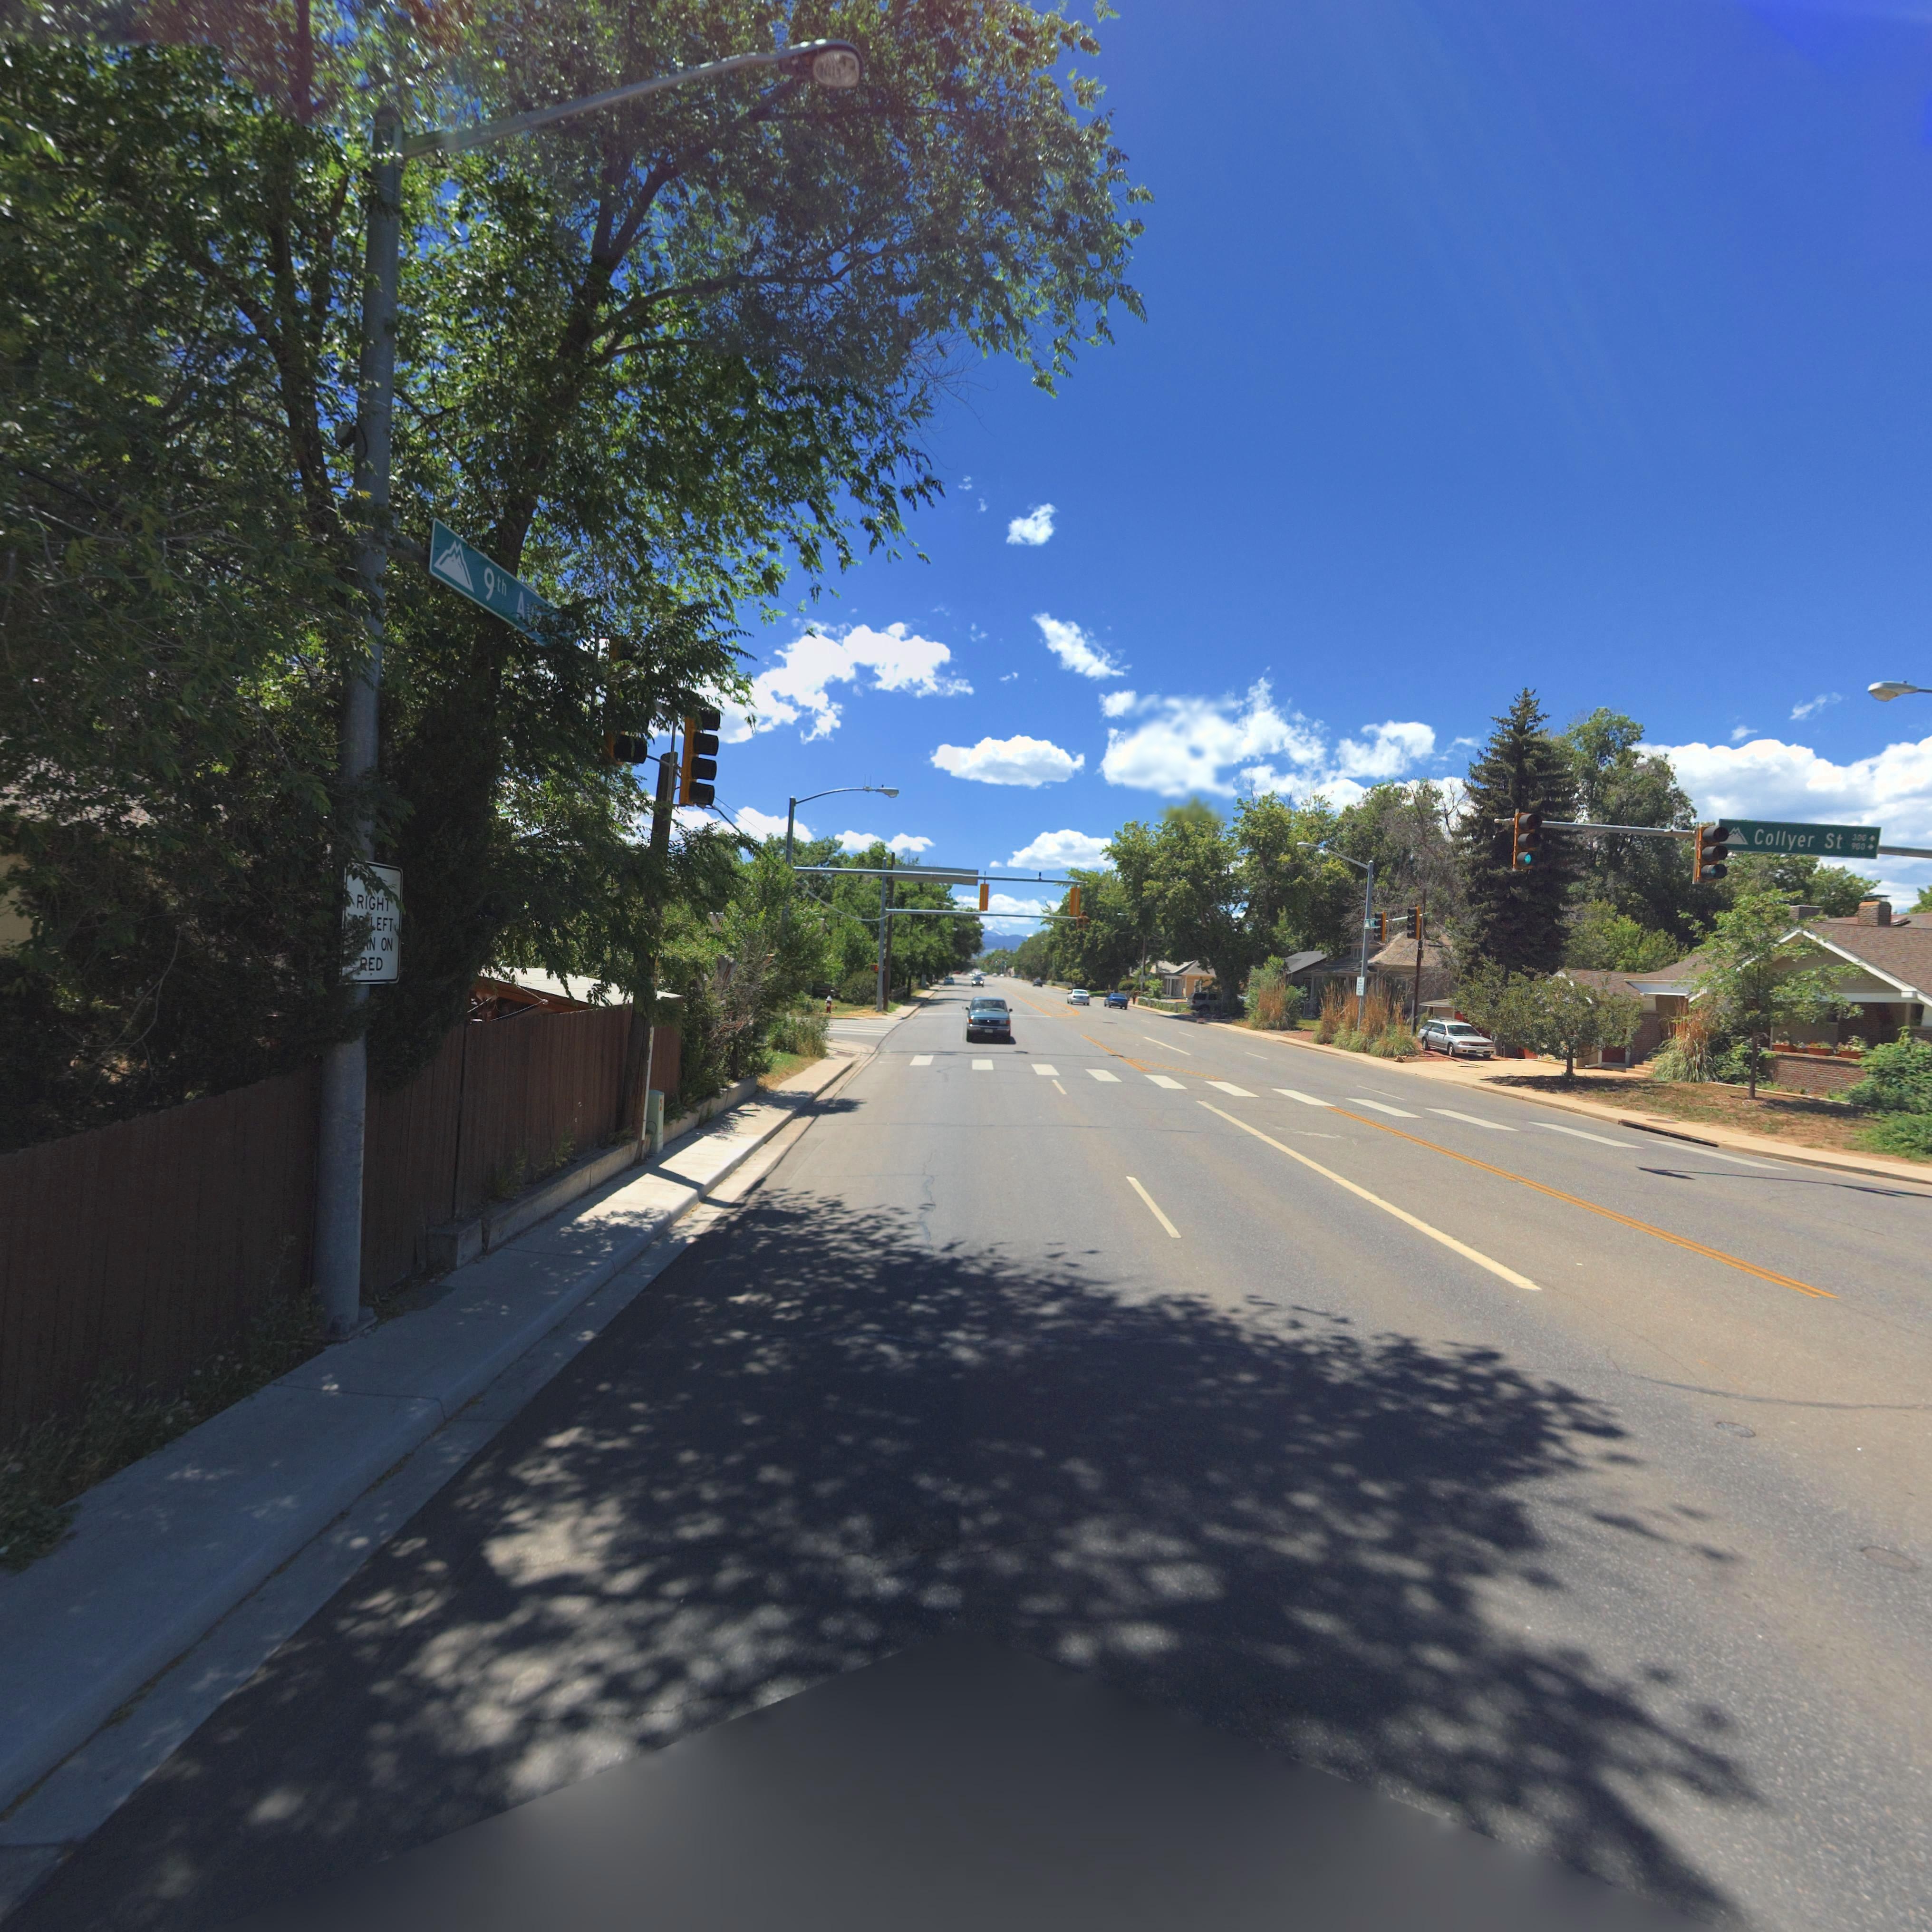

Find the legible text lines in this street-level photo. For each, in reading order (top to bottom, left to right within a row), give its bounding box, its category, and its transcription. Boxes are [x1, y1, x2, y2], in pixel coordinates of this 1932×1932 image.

[483, 566, 534, 628] StreetName: 9th Av
[1754, 828, 1842, 850] StreetName: Collyer St
[1851, 833, 1866, 841] StreetNumberRange: 300
[1851, 842, 1874, 850] StreetNumberRange: 900->